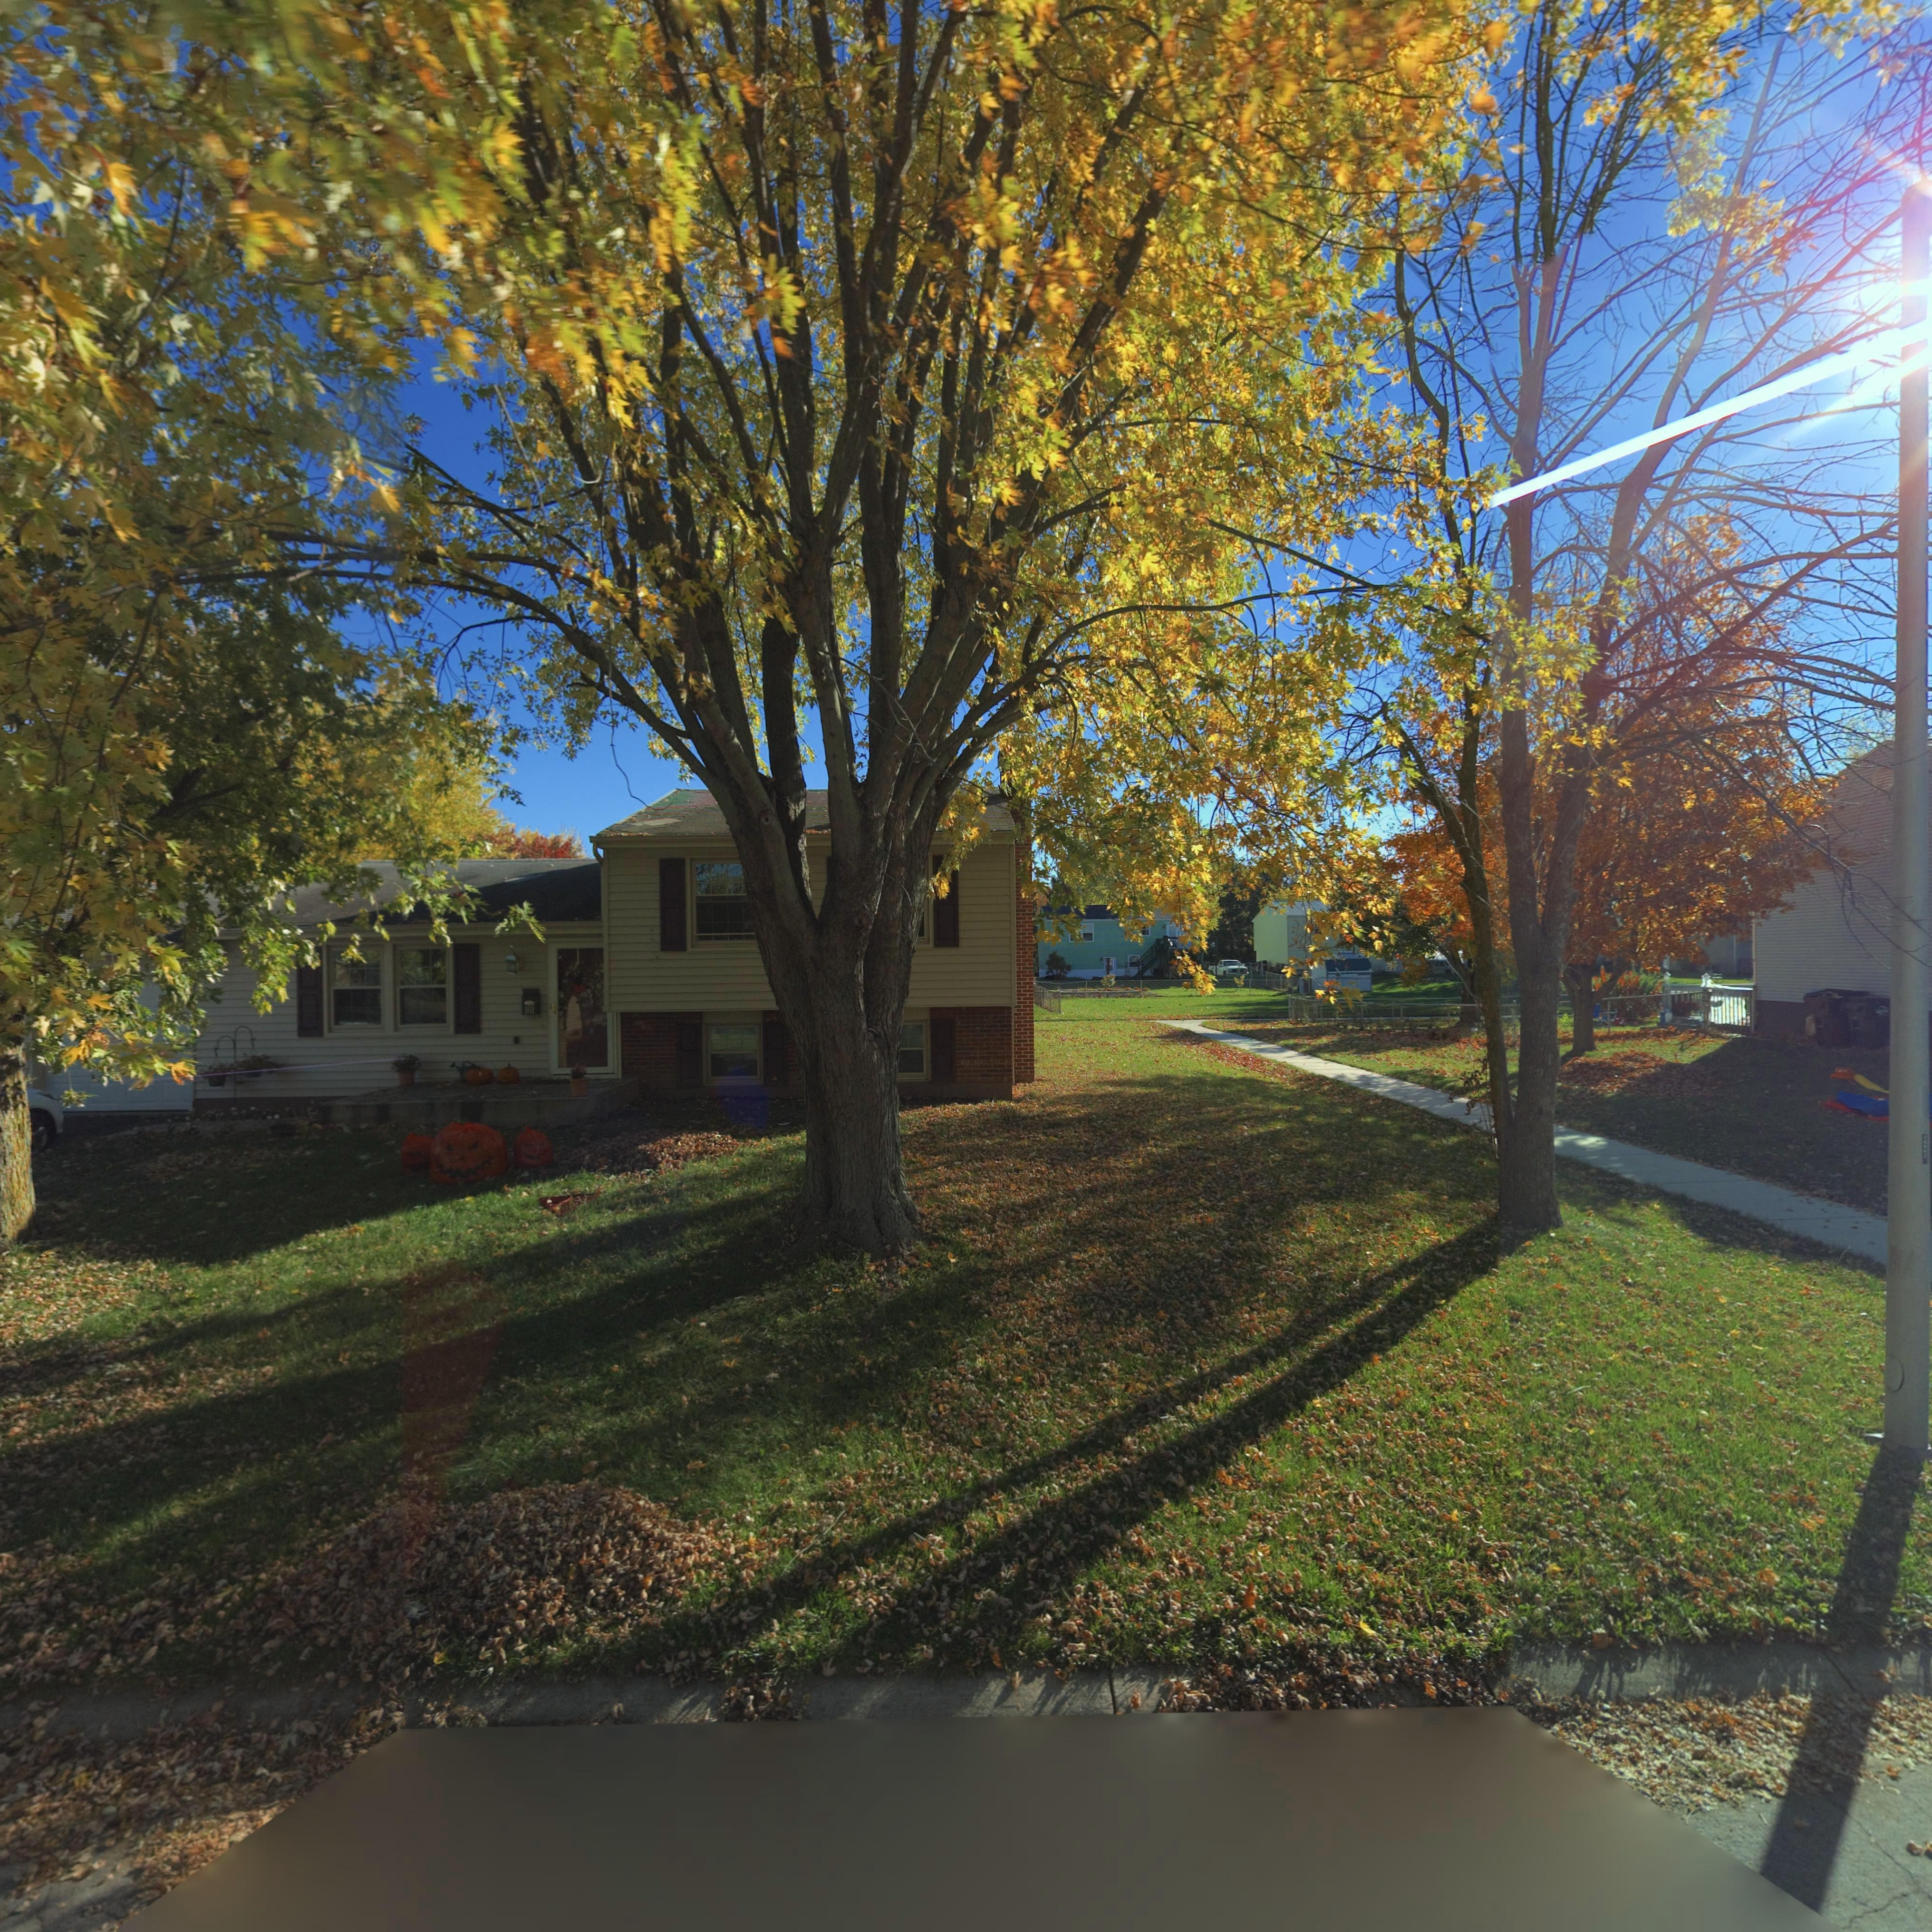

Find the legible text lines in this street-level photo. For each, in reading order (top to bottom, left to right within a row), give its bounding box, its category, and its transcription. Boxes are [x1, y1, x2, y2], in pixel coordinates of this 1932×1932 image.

[524, 1005, 535, 1015] StreetNumber: 101